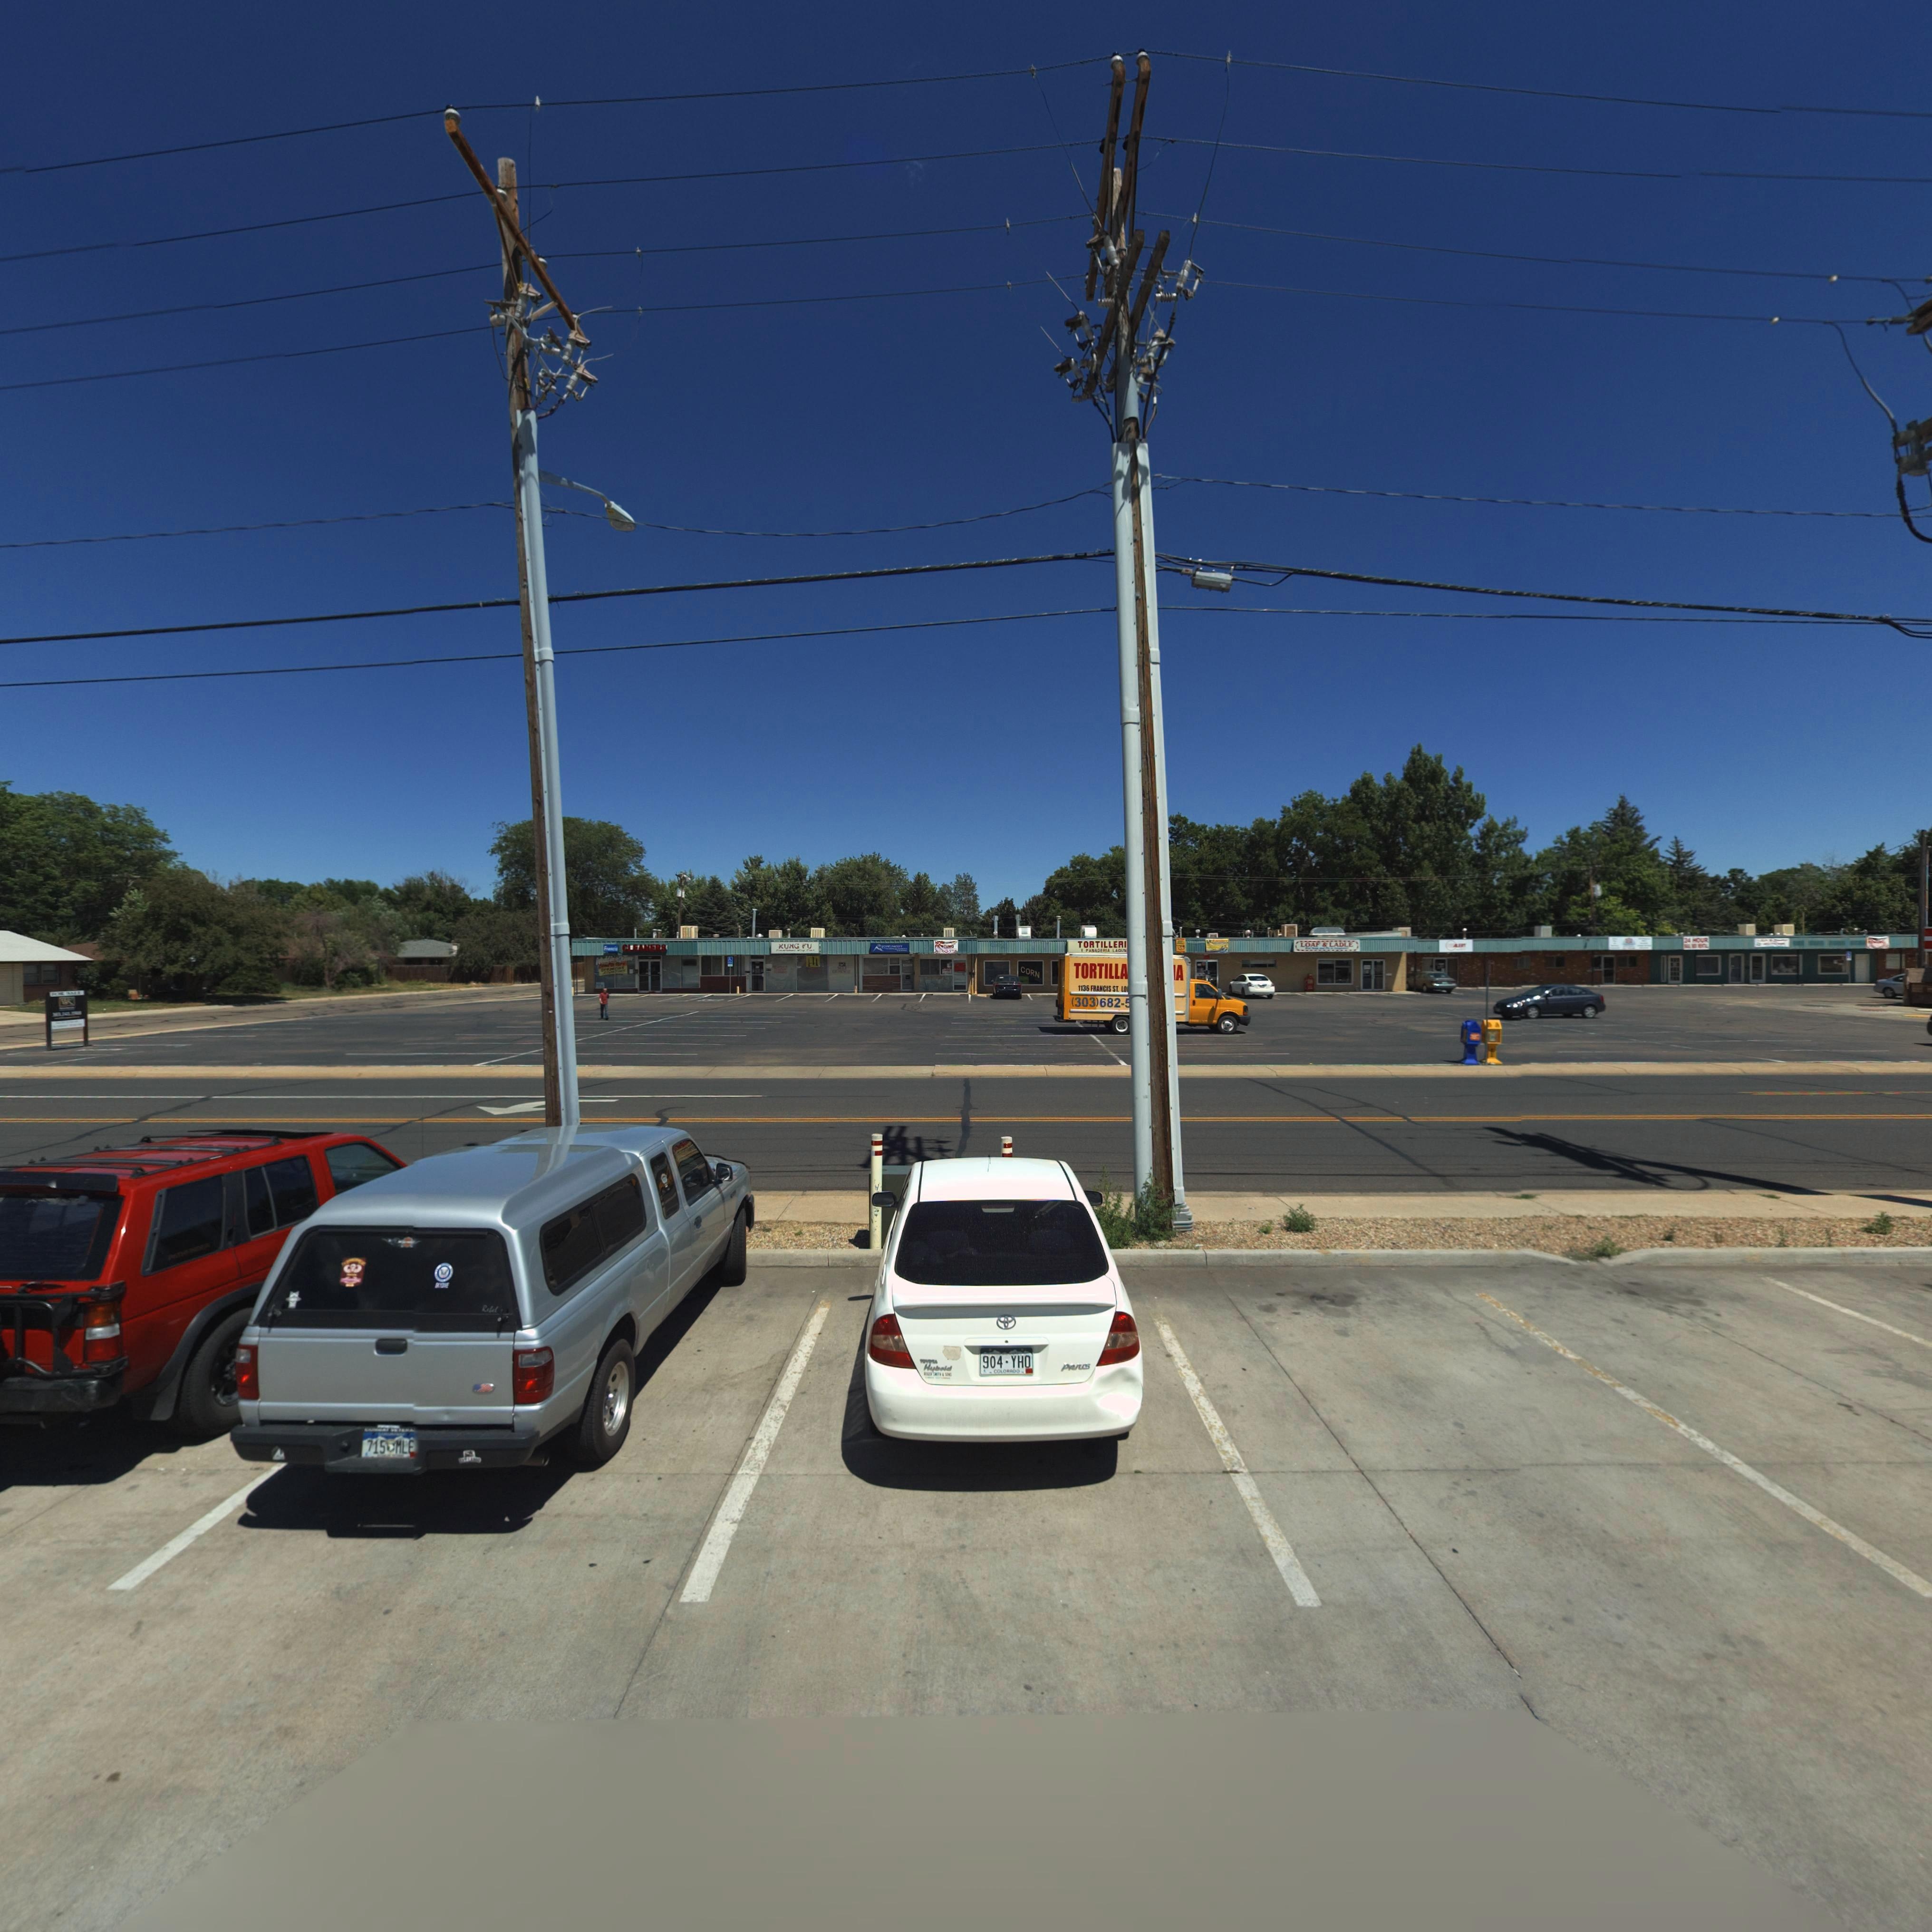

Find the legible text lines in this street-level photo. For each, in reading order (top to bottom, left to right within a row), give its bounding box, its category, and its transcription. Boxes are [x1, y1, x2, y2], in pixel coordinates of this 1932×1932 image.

[604, 945, 618, 951] BusinessName: Francis
[621, 944, 666, 952] BusinessName: CLEANERS
[1077, 940, 1127, 948] BusinessName: TORTILLERI
[1080, 948, 1127, 952] BusinessName: * PANADERIA LABU*
[1300, 941, 1354, 947] BusinessName: LOAF * LADLE
[1452, 943, 1466, 947] None: A***